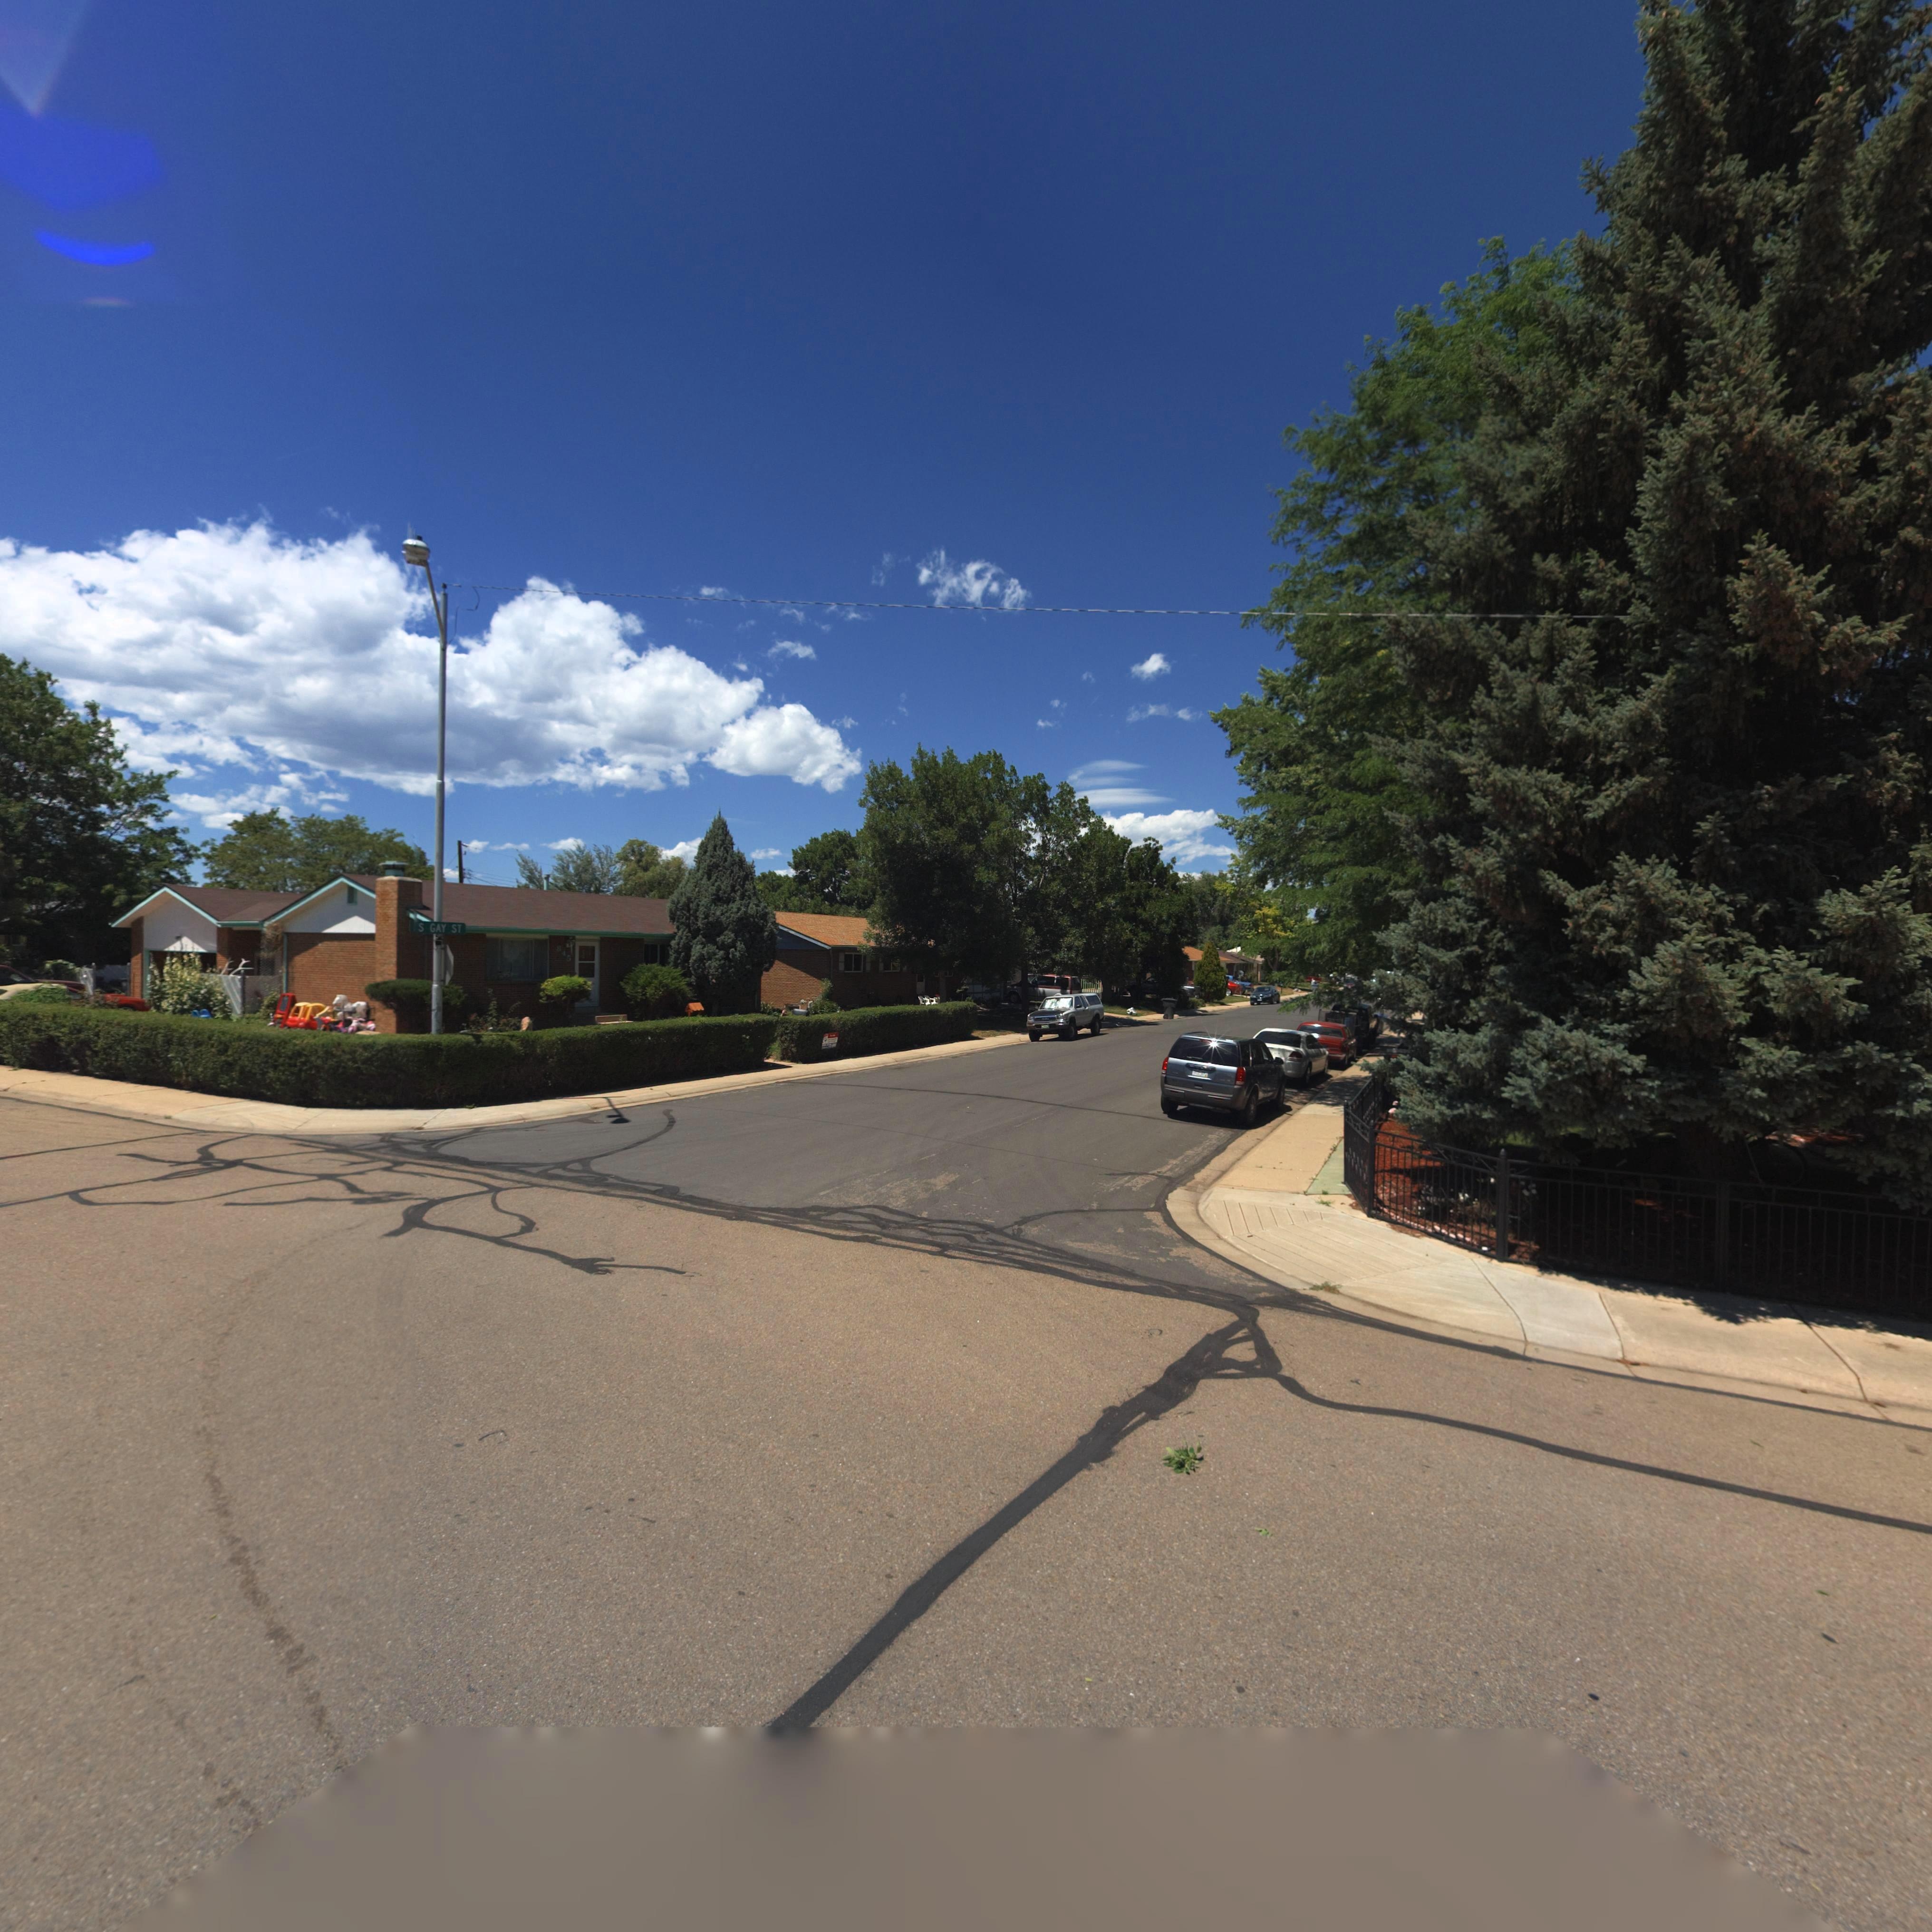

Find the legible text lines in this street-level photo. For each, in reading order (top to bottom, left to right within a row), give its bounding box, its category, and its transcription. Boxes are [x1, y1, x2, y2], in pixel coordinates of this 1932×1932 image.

[418, 922, 462, 933] StreetName: S GAY ST
[555, 944, 571, 962] BusinessName: 845